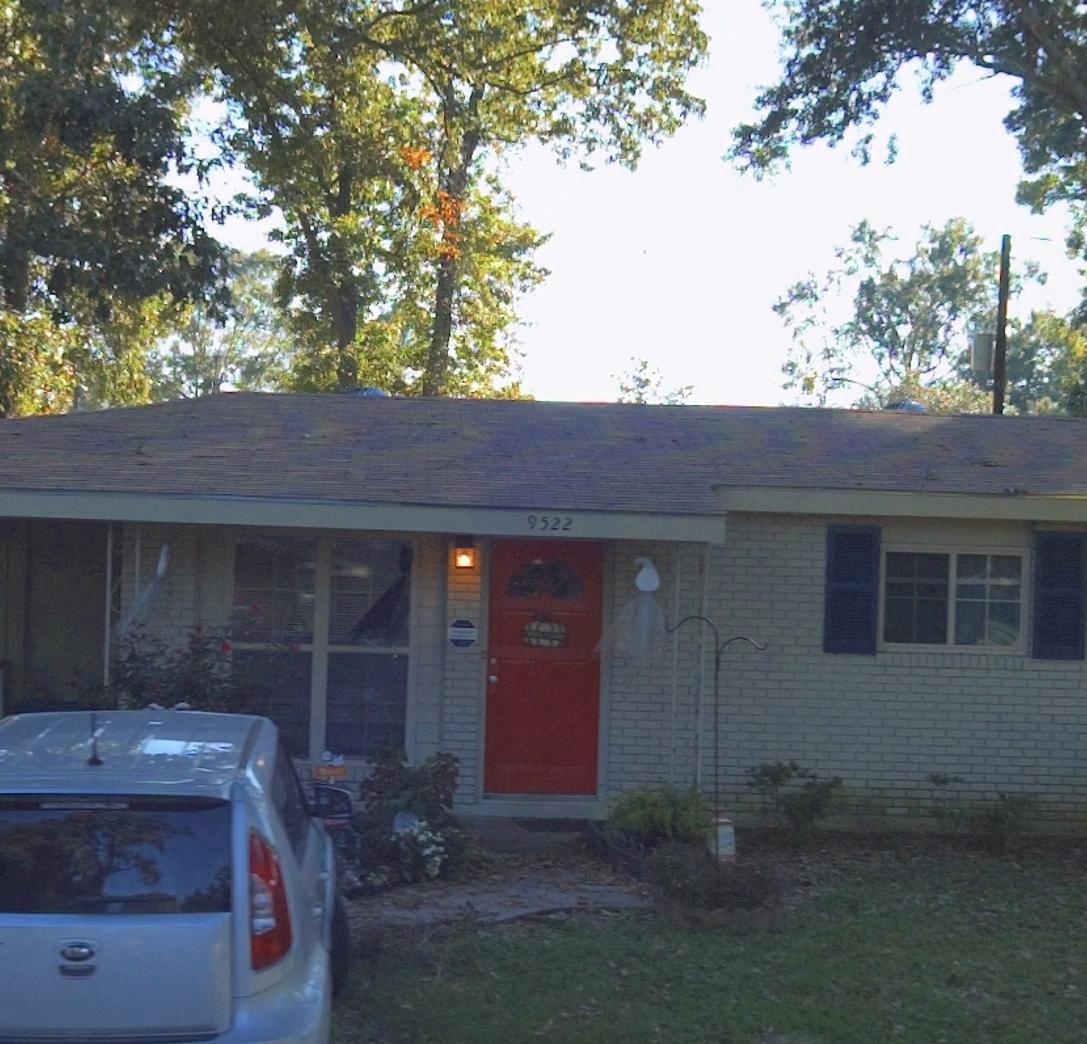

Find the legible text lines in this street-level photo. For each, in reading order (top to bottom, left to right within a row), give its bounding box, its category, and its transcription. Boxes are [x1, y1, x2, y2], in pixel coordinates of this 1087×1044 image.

[526, 513, 573, 531] StreetNumber: 9522
[63, 947, 92, 958] None: KIA